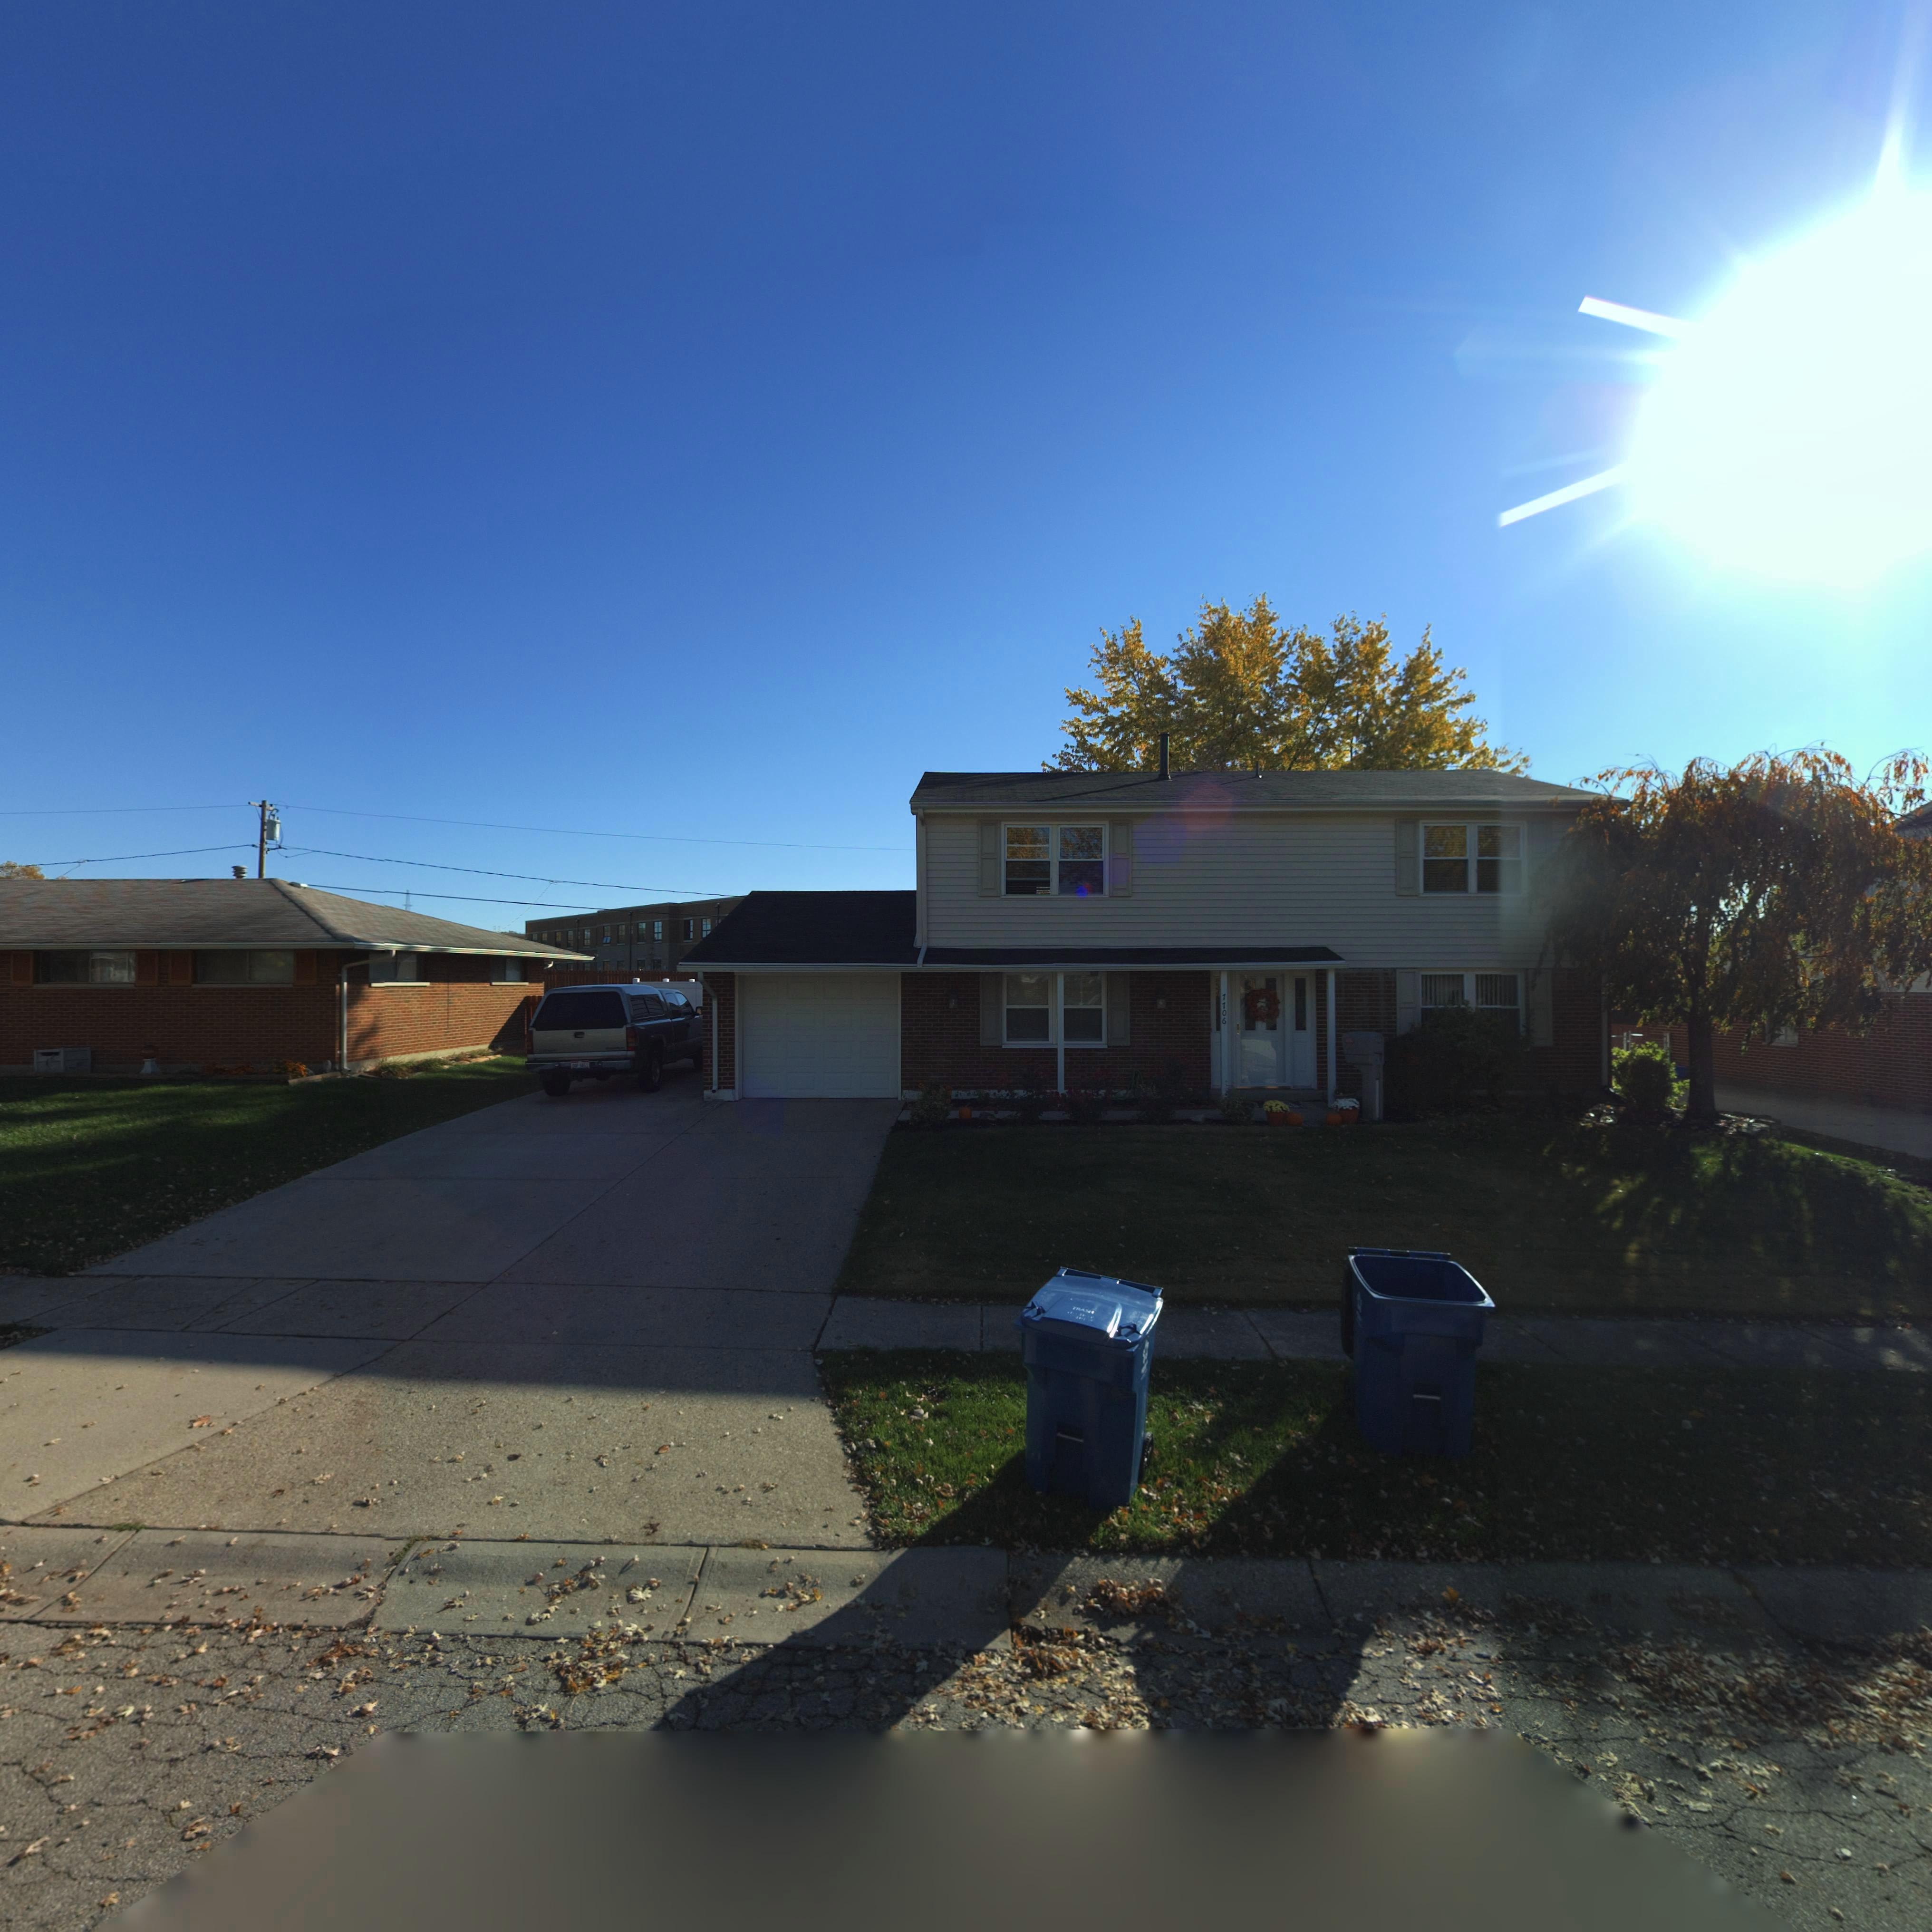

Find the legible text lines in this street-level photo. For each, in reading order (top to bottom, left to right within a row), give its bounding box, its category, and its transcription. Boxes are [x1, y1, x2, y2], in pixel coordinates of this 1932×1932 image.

[1221, 993, 1227, 1025] StreetNumber: 7706